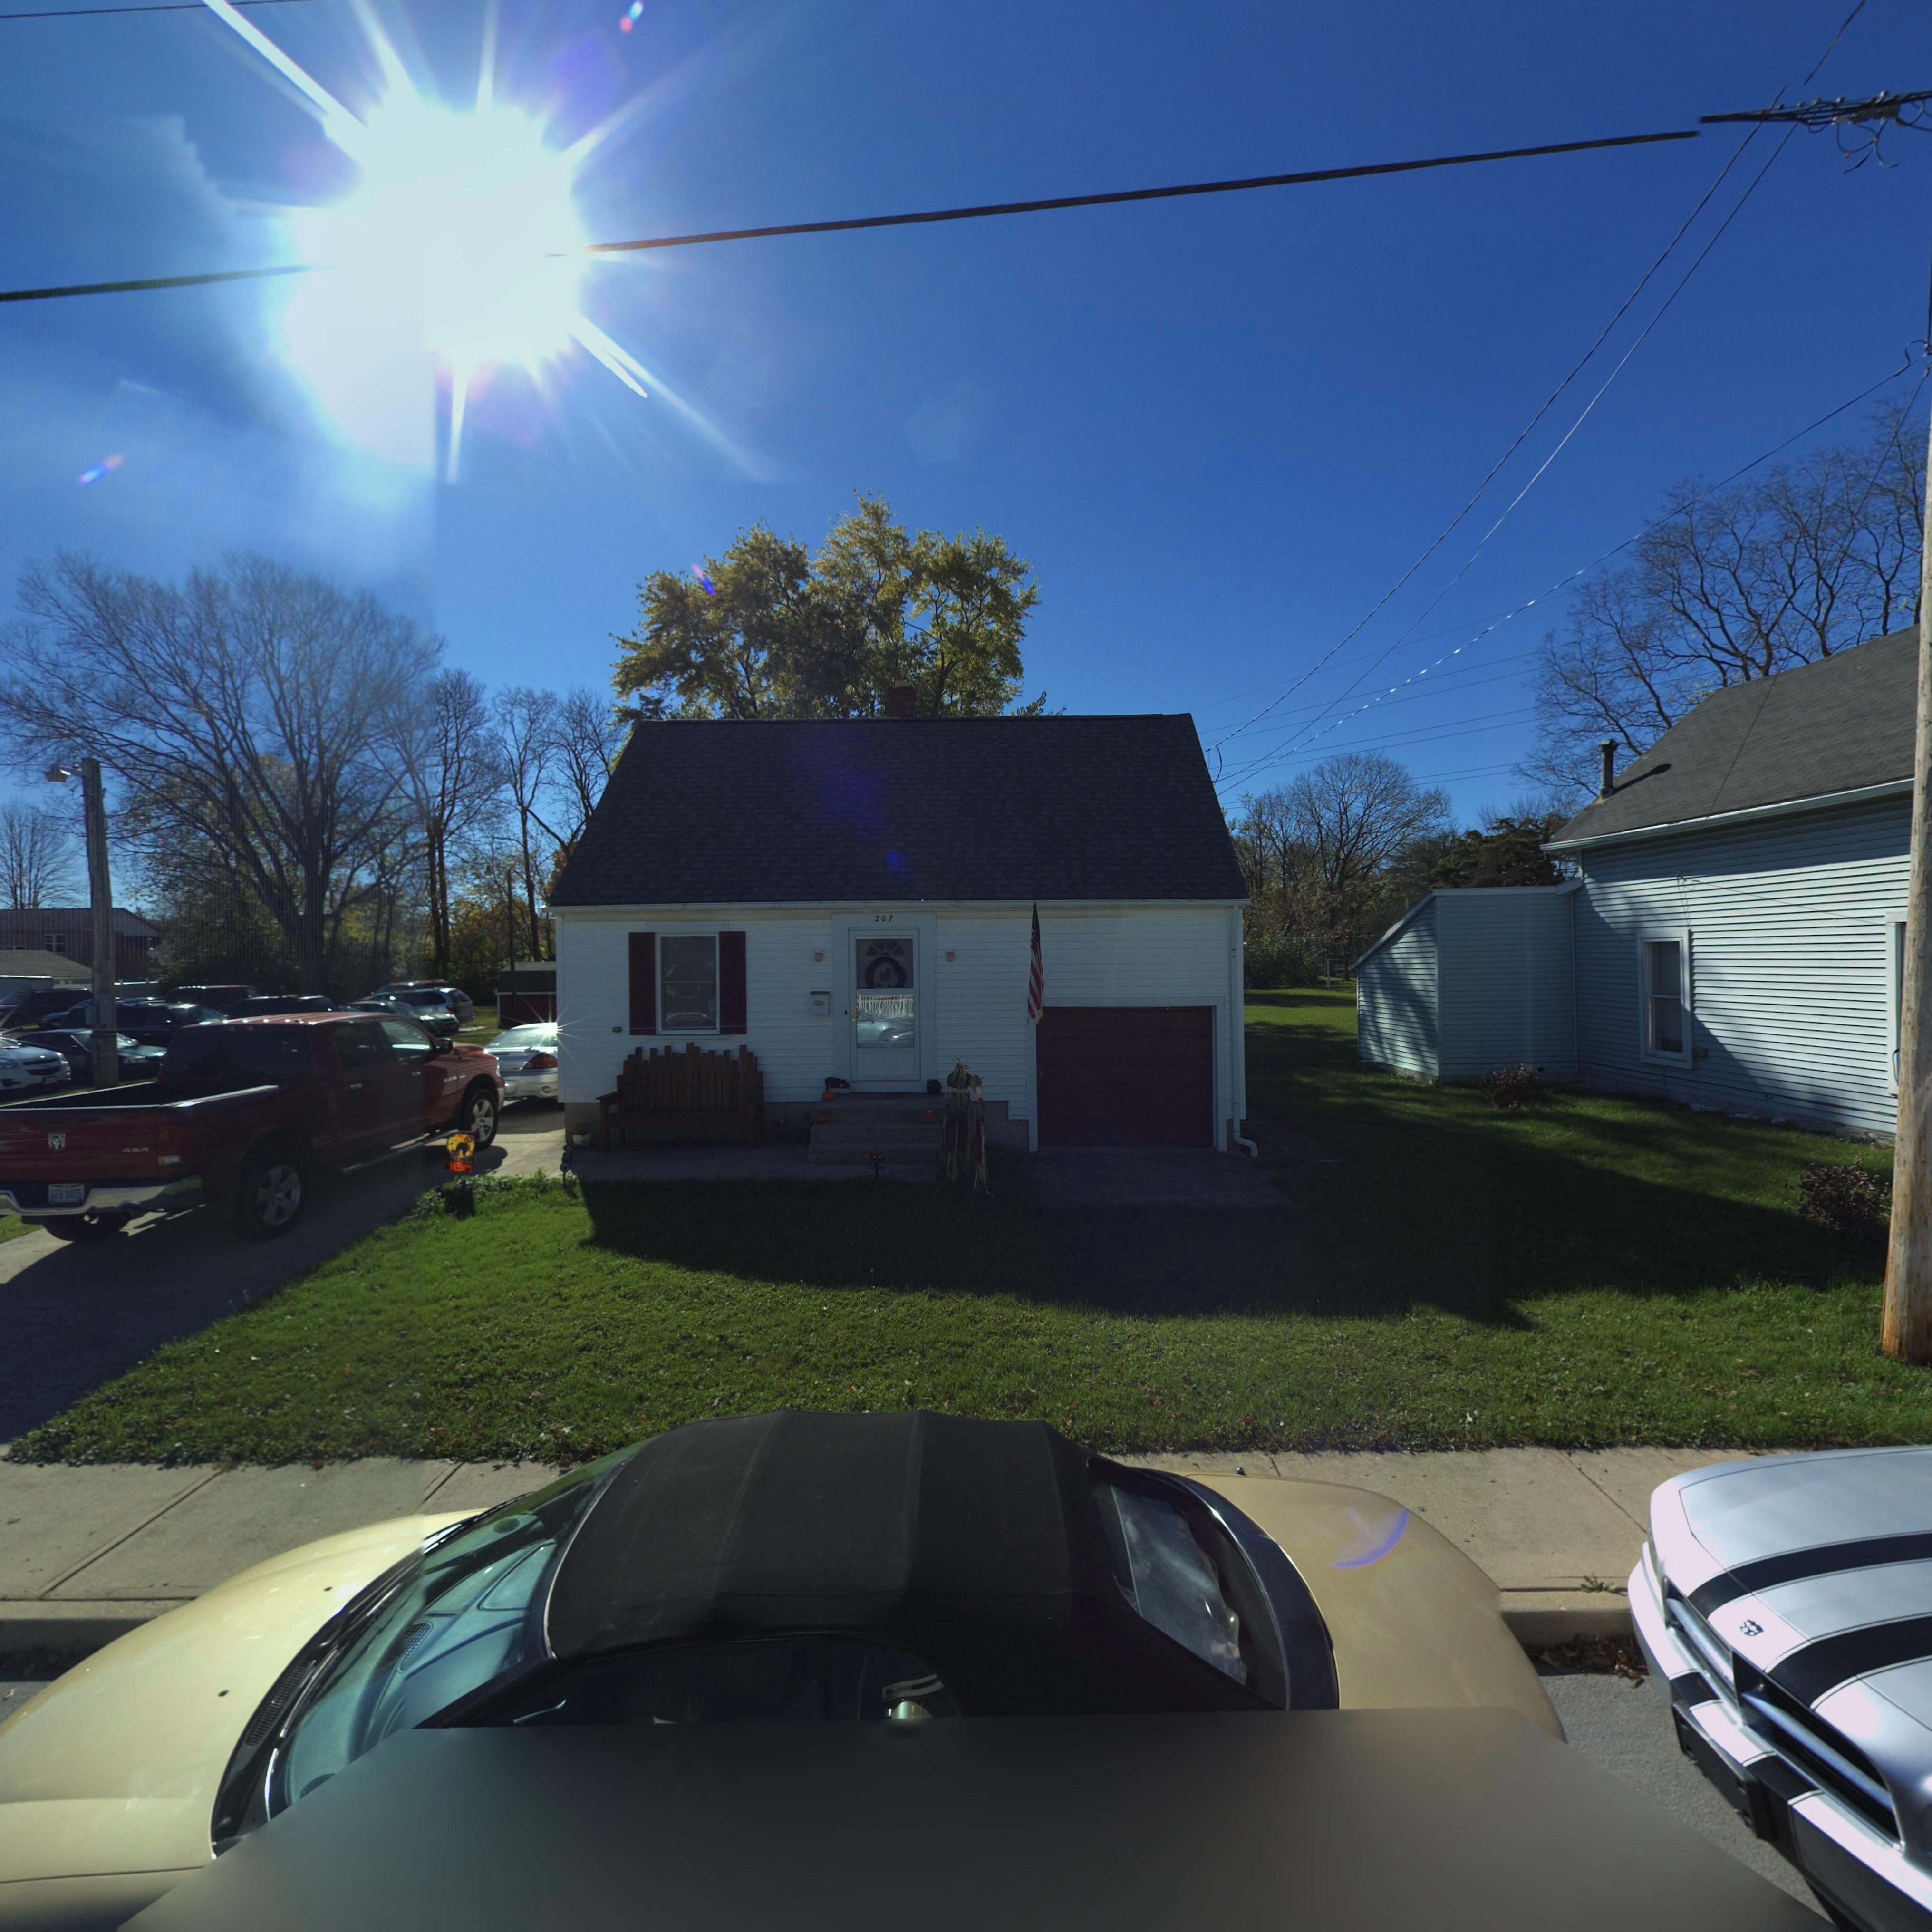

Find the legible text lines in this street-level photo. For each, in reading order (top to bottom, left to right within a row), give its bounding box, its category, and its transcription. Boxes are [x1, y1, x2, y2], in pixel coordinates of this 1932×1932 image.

[874, 915, 893, 922] StreetNumber: 207
[120, 1146, 151, 1154] None: 4x4
[49, 1188, 83, 1199] None: GEB*54*5